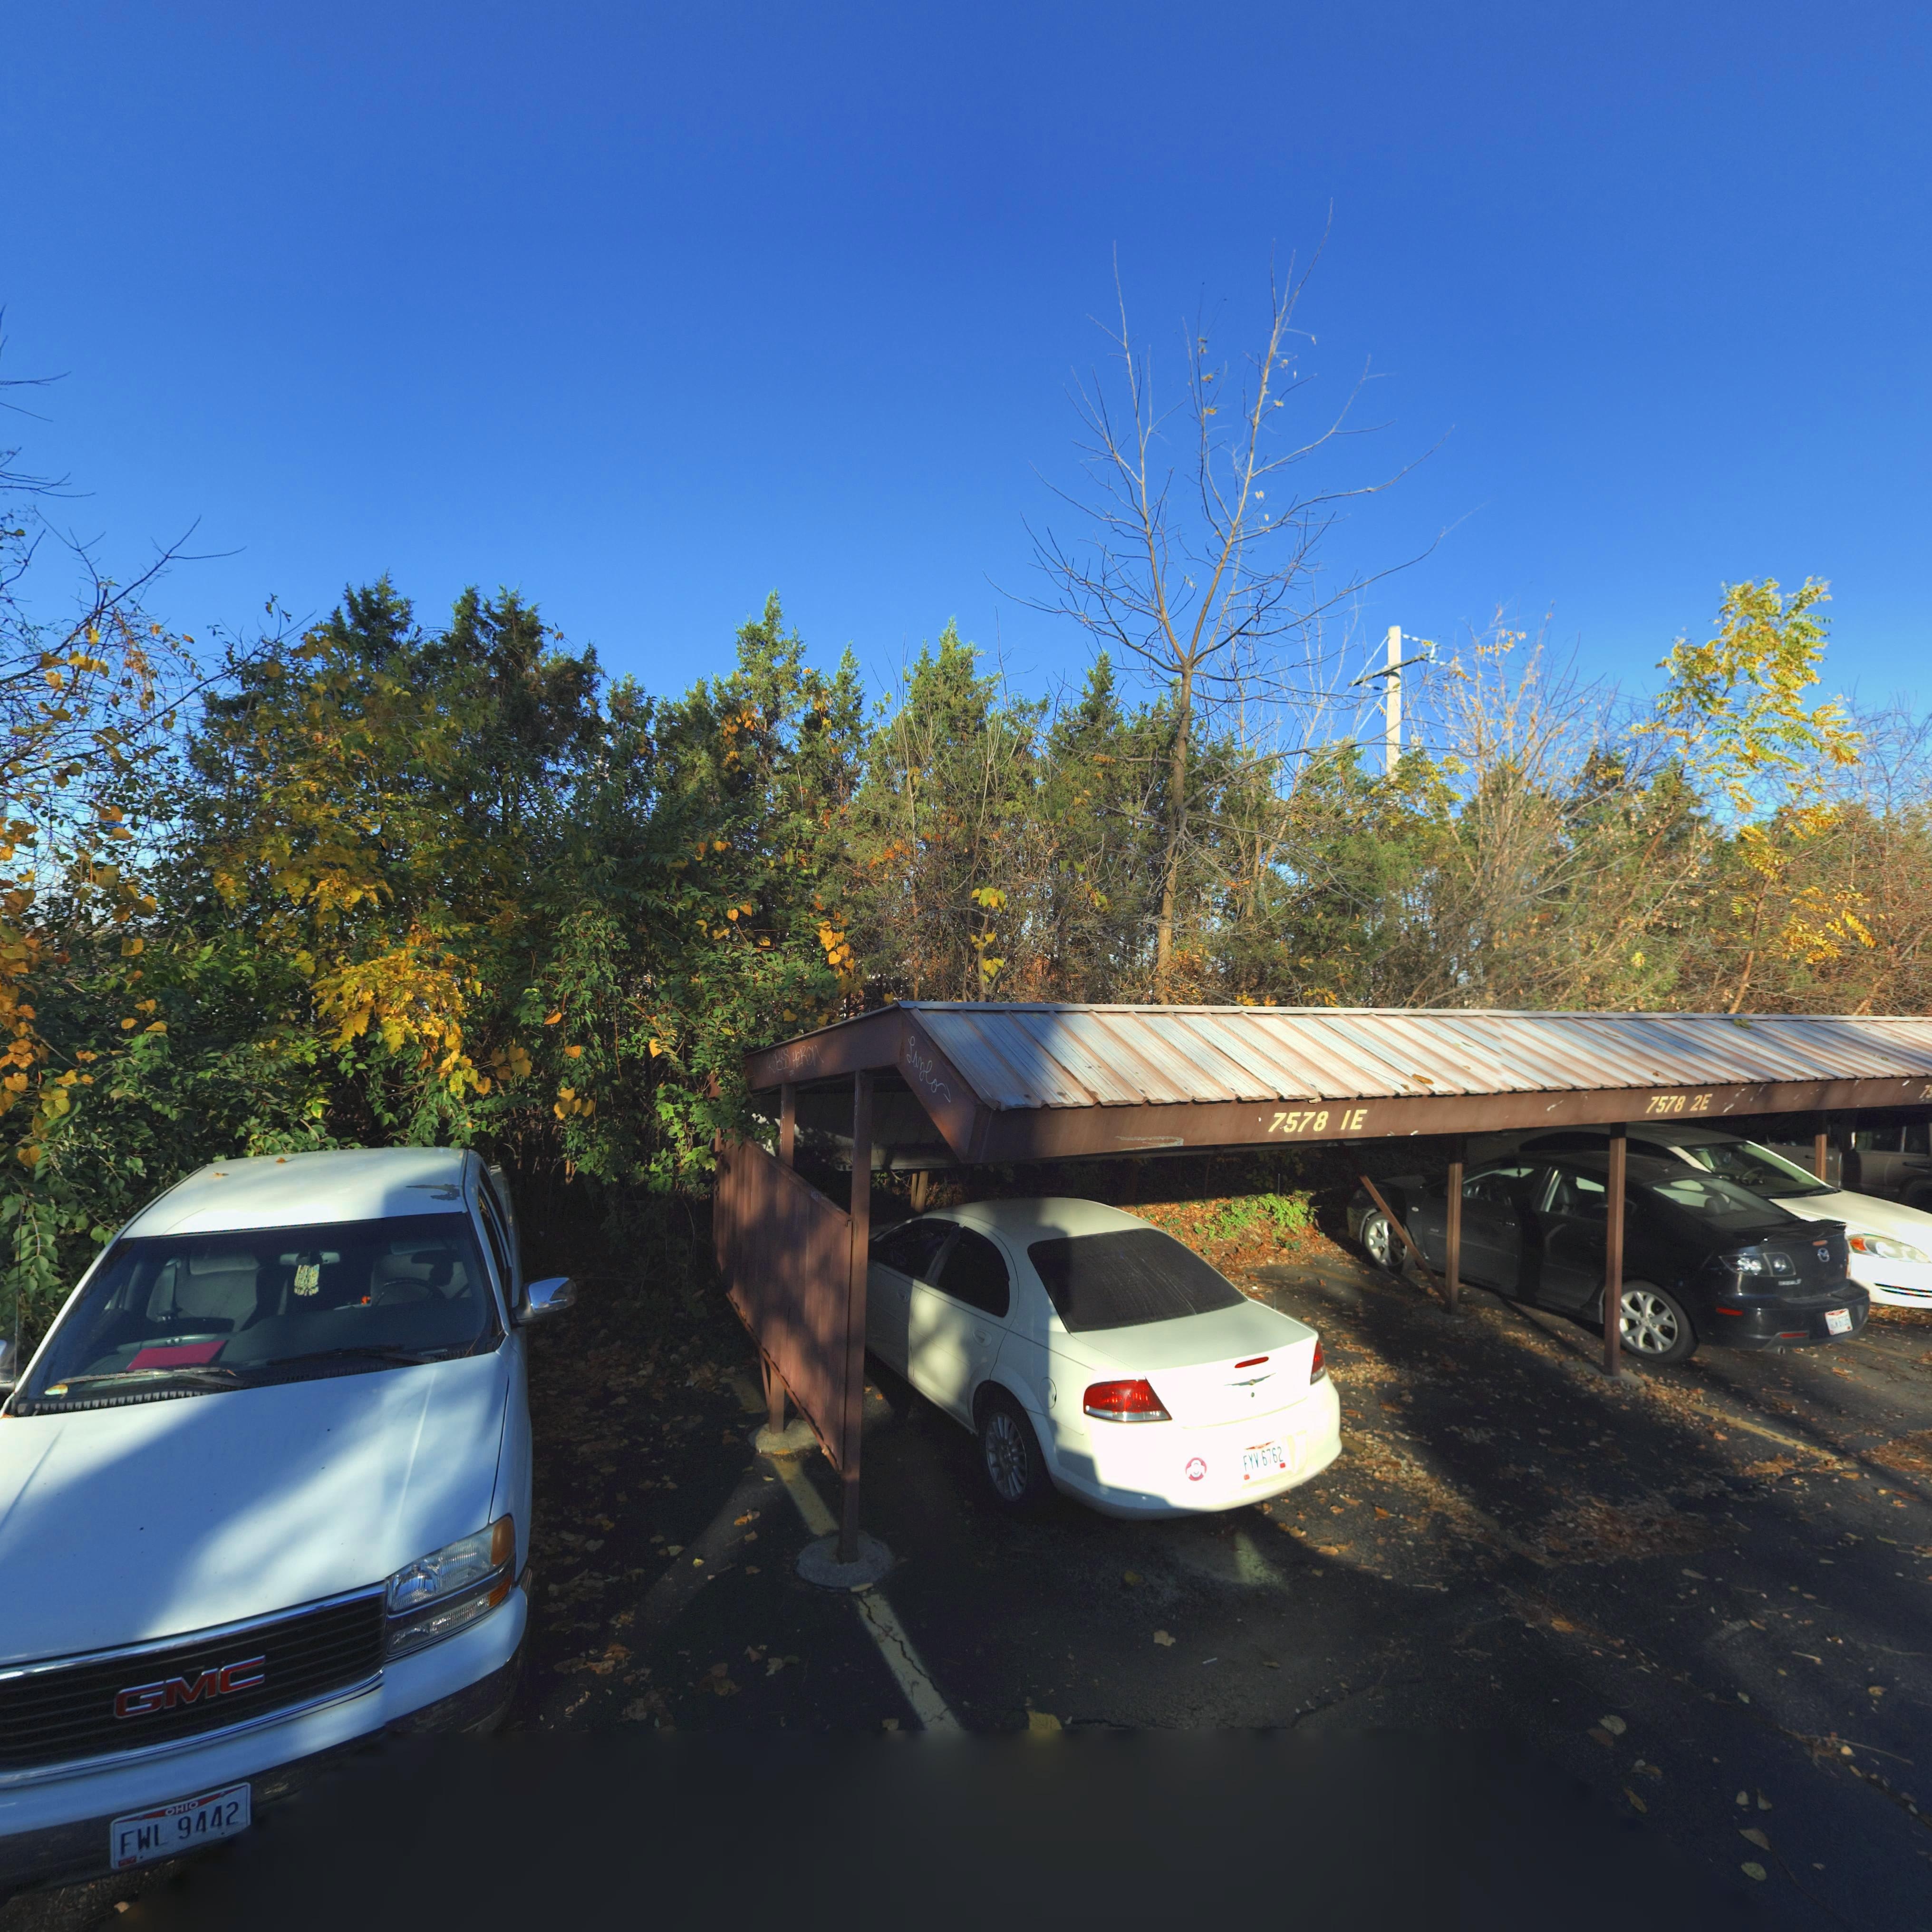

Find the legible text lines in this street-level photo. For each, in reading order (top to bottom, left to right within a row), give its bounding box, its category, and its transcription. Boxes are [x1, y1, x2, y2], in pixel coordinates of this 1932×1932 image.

[1917, 1084, 1932, 1100] StreetNumber: 7
[1644, 1095, 1687, 1114] StreetNumber: 7578
[1266, 1111, 1330, 1133] StreetNumber: 7578